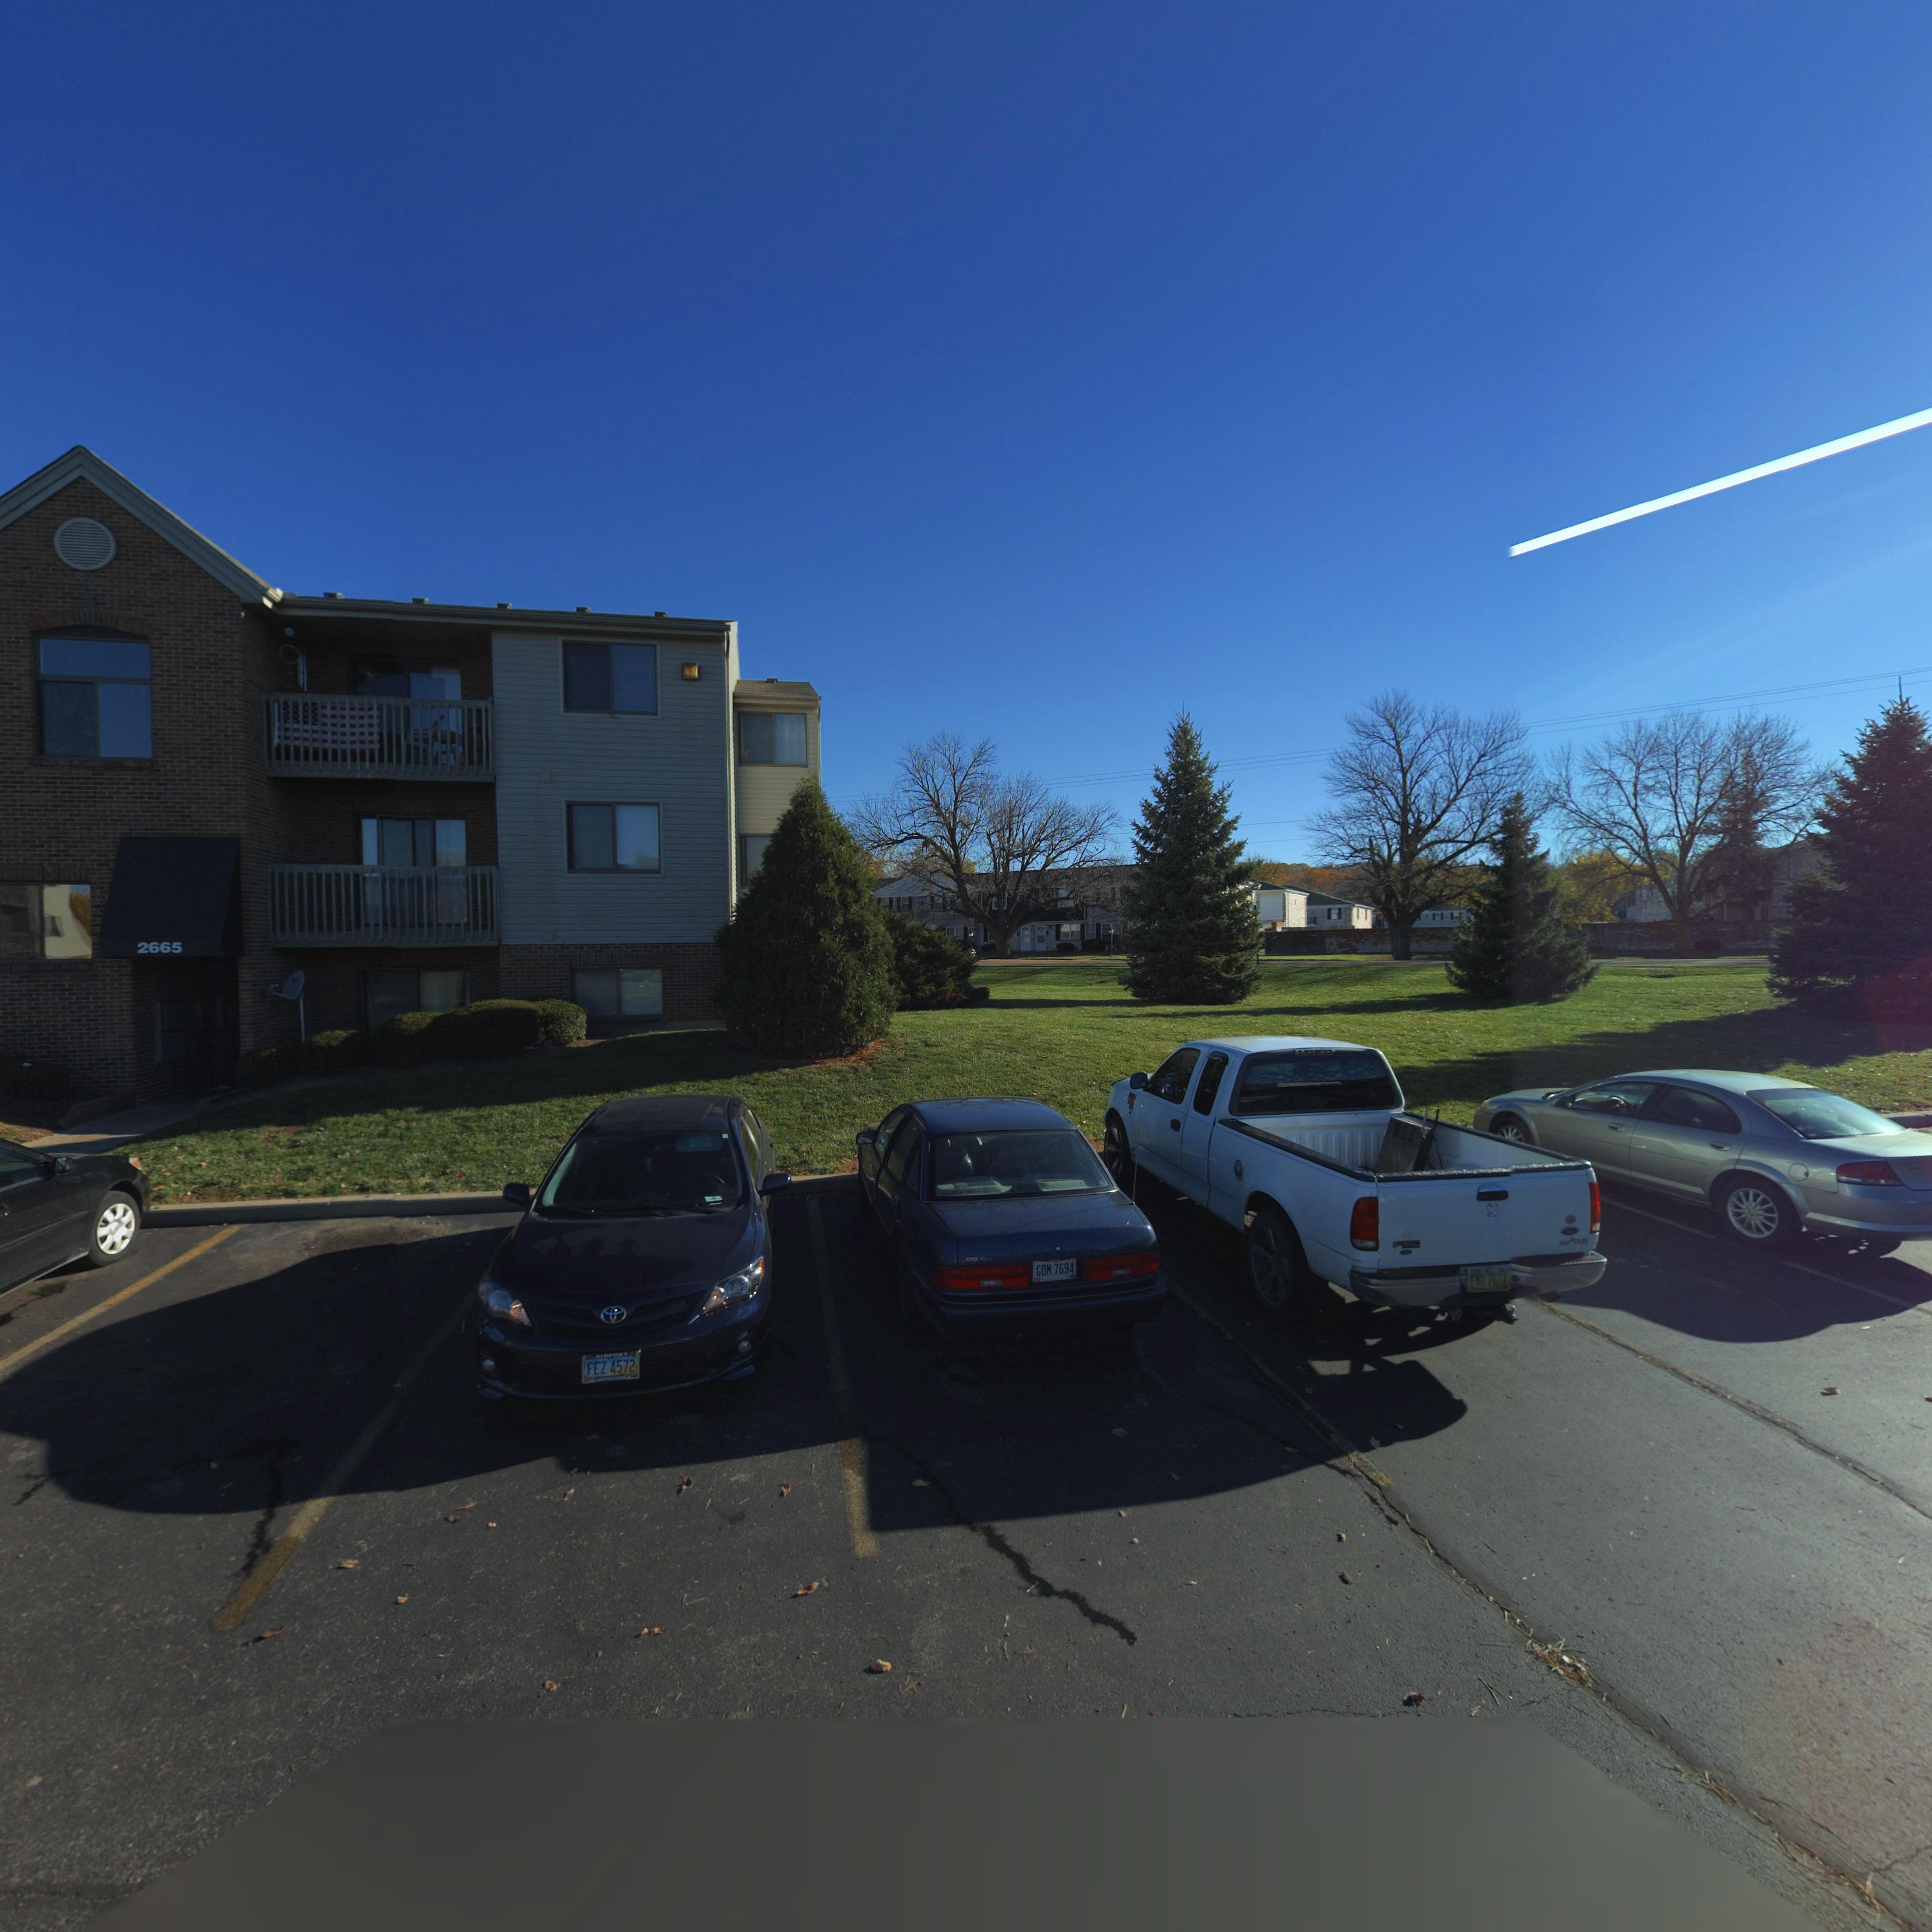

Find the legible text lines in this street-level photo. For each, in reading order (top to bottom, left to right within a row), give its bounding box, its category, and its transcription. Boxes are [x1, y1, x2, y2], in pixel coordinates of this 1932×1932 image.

[136, 941, 183, 954] StreetNumber: 2665